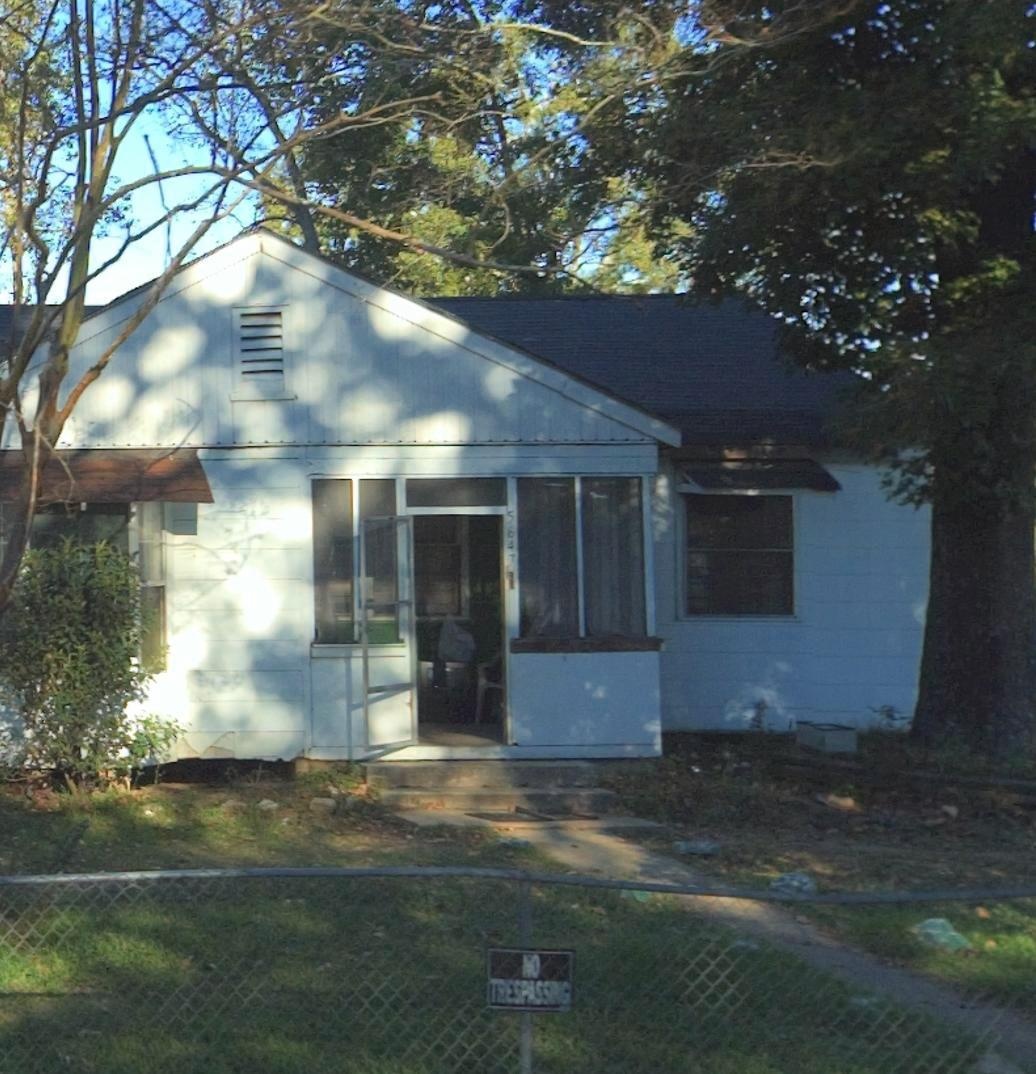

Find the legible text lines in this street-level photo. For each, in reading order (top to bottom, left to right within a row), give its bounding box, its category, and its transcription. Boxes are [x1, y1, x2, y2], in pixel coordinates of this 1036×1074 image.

[506, 508, 516, 565] StreetNumber: 5647
[520, 951, 541, 980] None: NO
[489, 977, 572, 1006] None: TRESPASSING